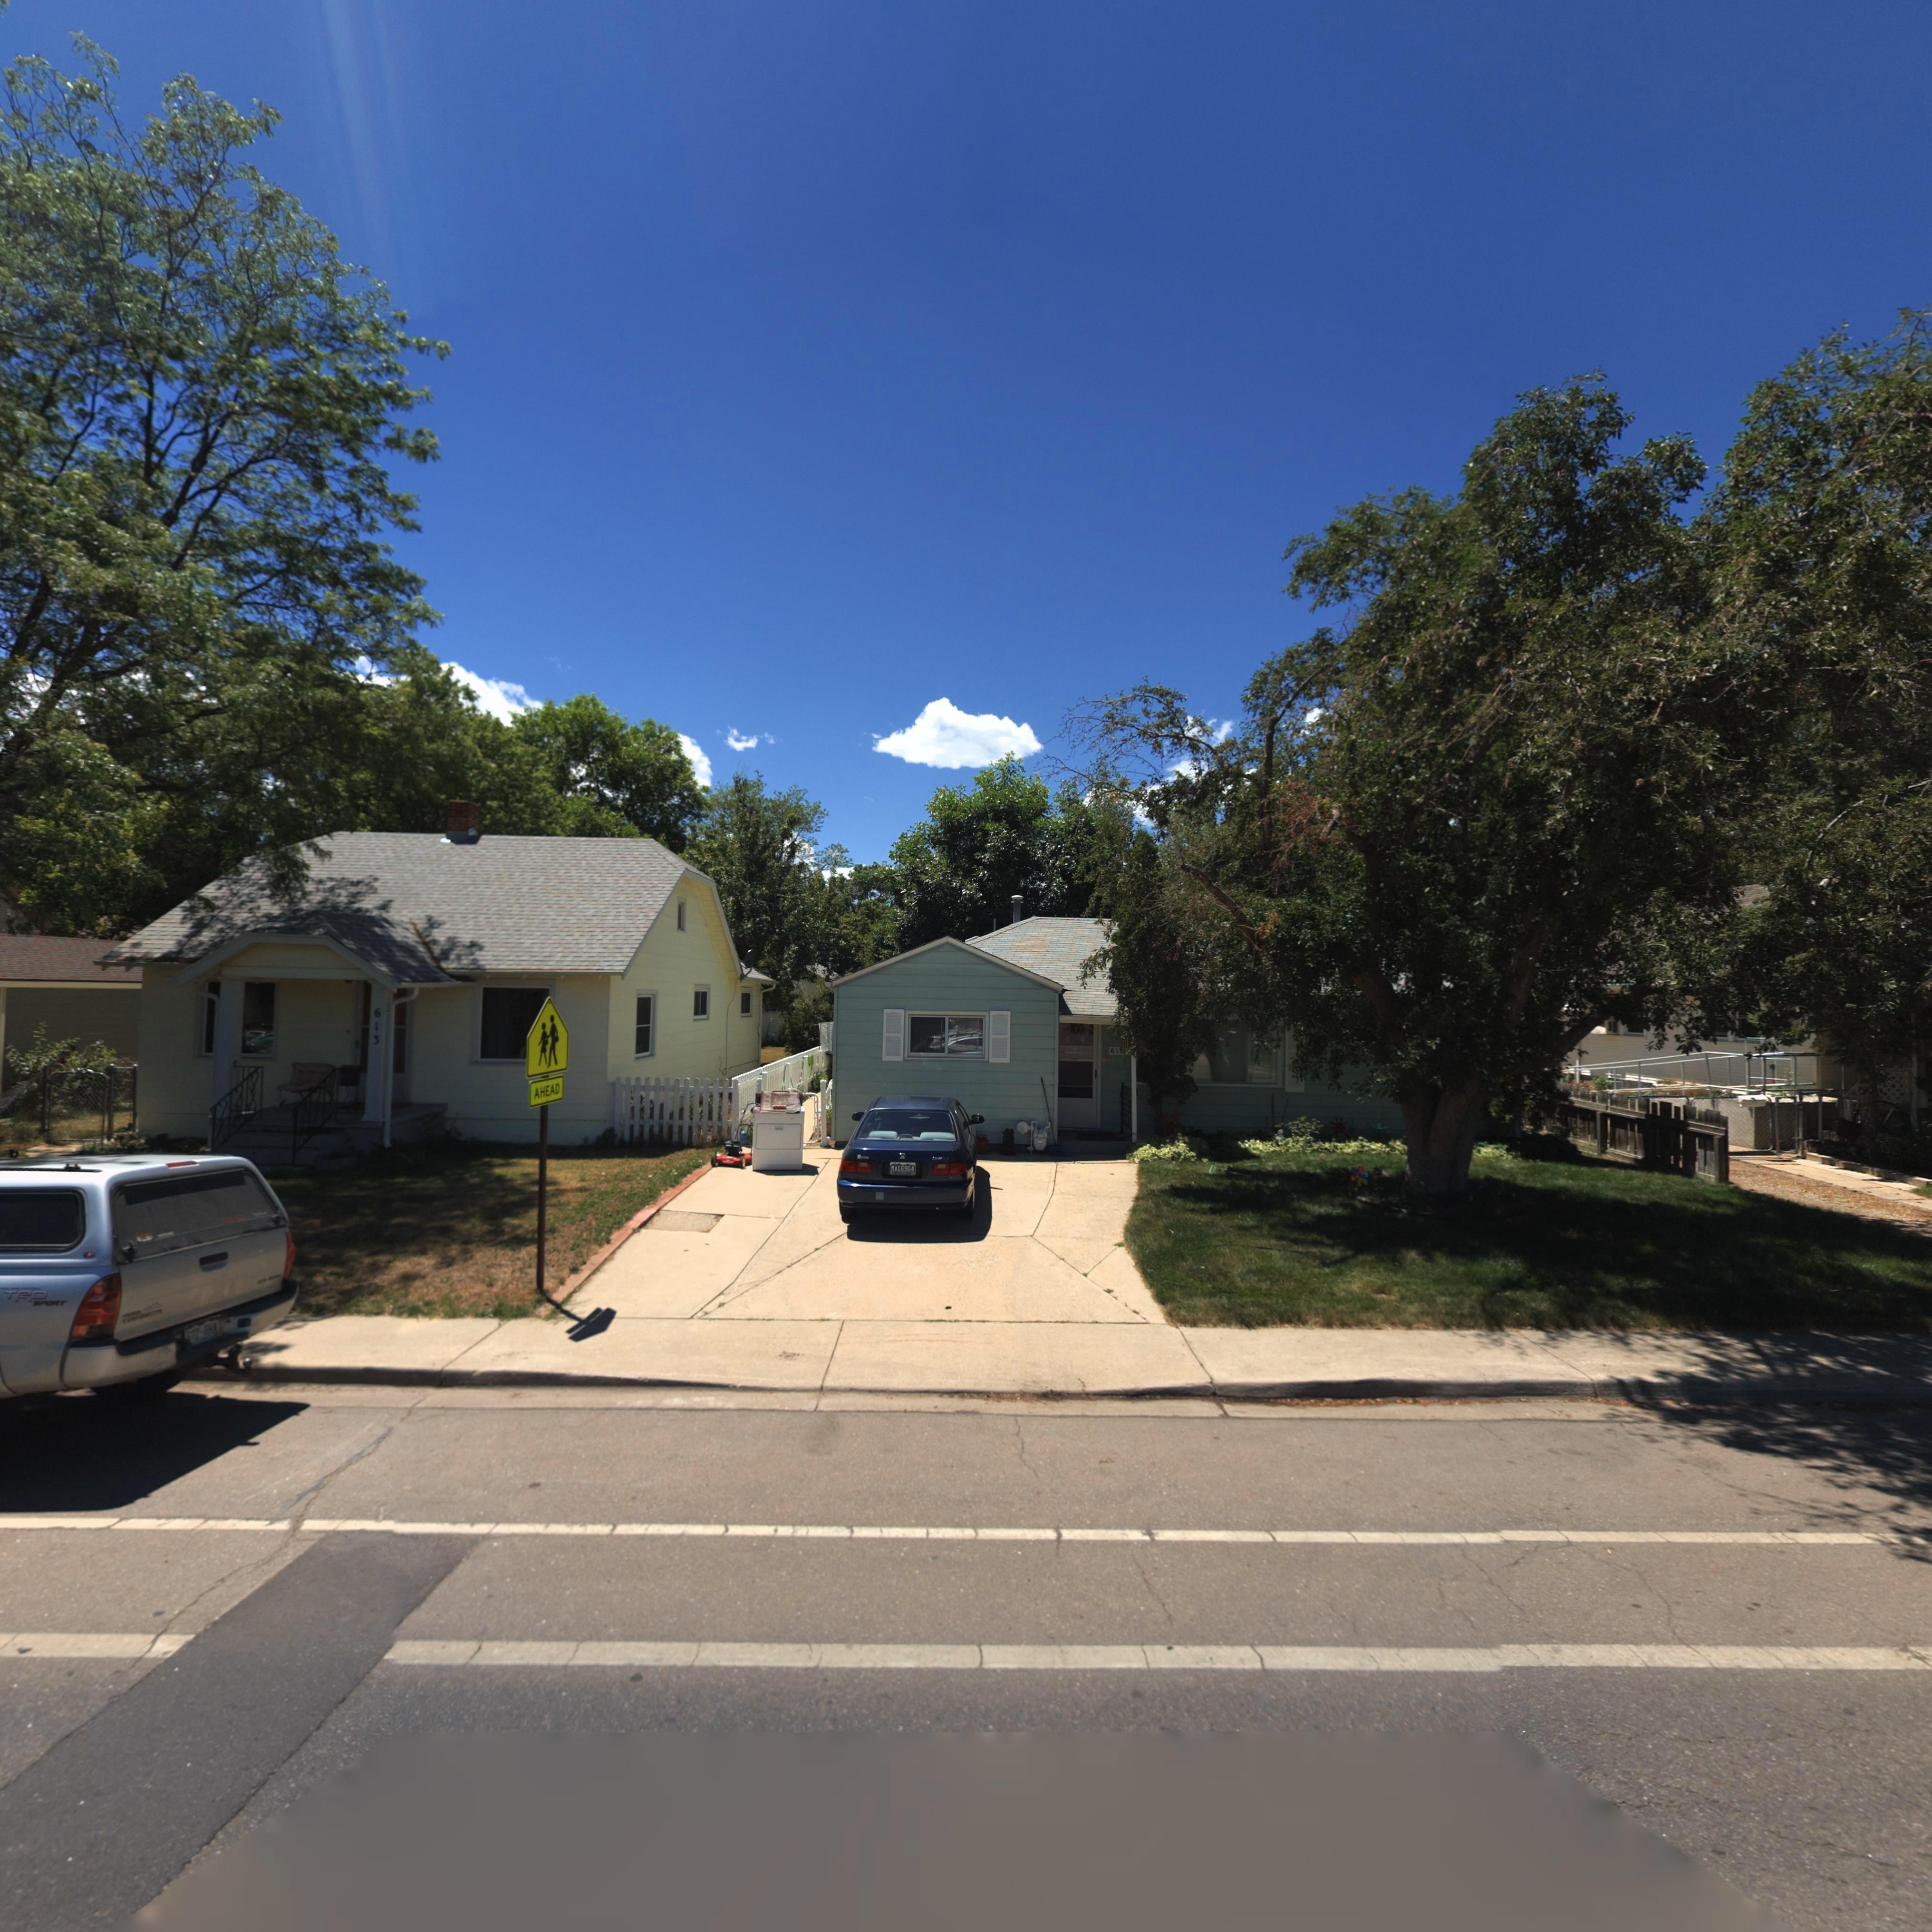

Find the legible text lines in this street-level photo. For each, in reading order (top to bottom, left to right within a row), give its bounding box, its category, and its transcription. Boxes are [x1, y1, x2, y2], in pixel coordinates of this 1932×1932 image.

[371, 1007, 382, 1046] StreetNumber: 613
[1110, 1047, 1123, 1054] StreetNumber: 619